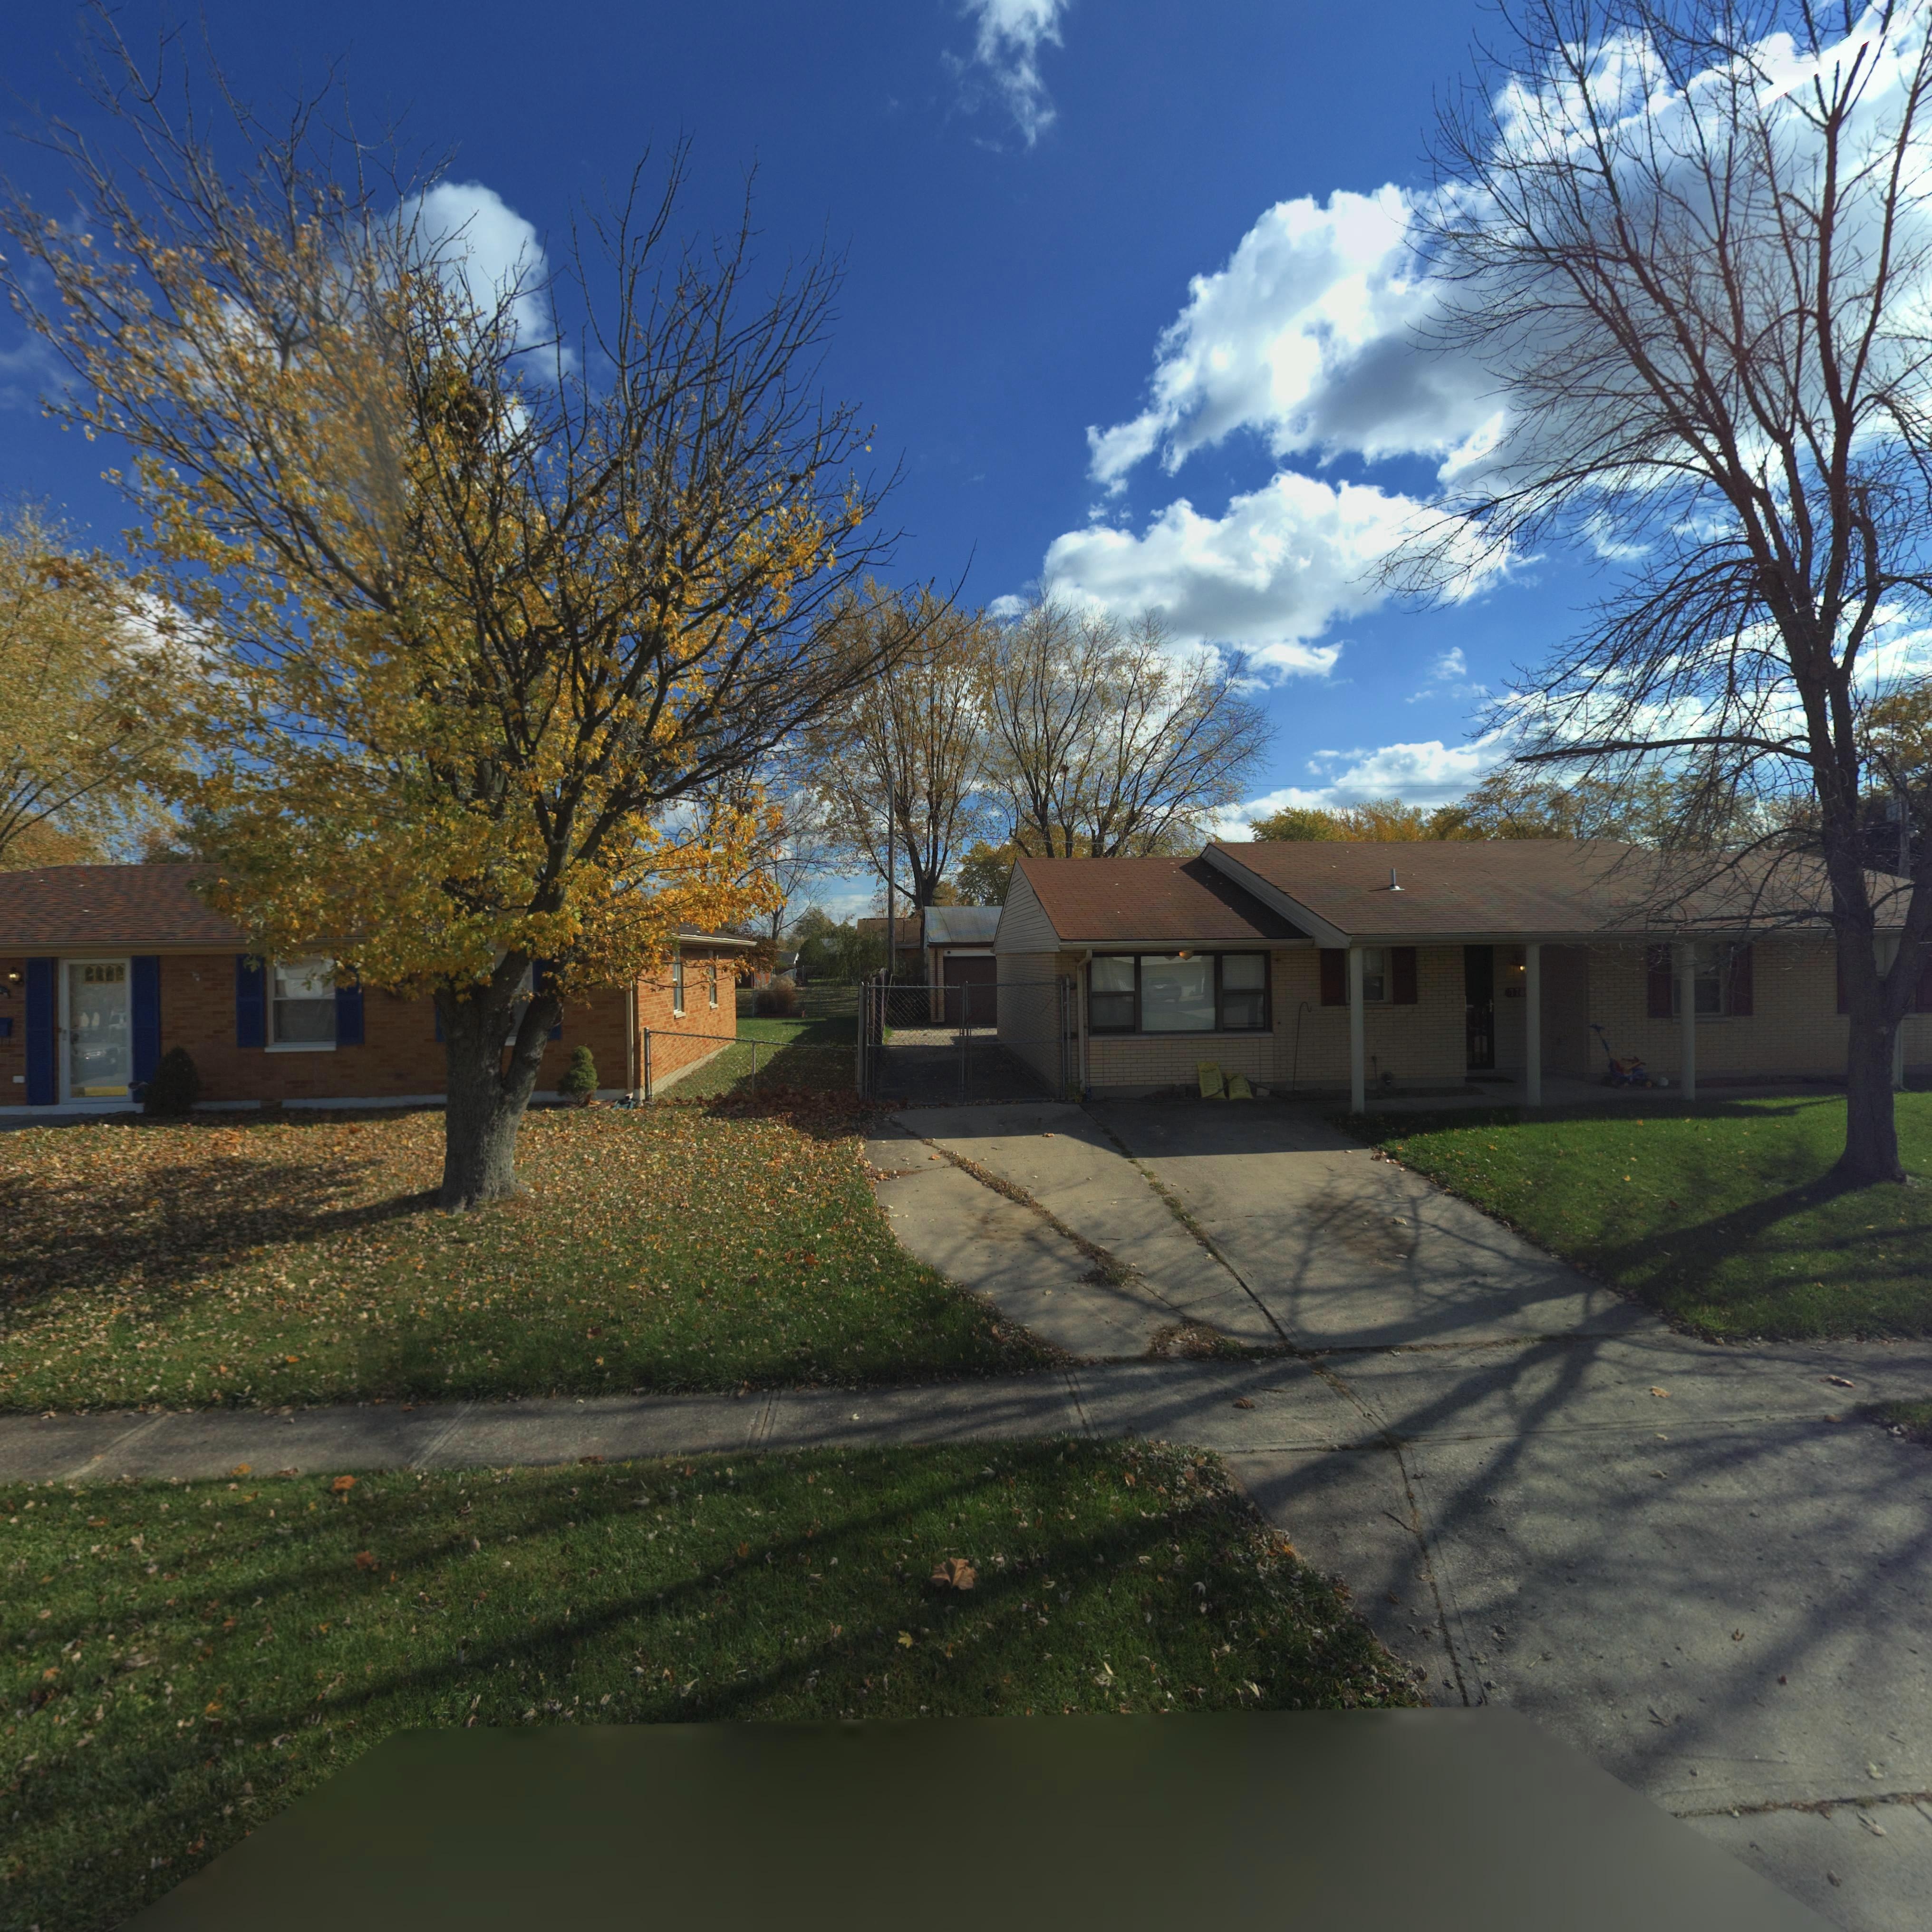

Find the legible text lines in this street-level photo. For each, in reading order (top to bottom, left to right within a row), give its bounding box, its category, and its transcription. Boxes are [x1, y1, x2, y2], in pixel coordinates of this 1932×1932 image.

[1508, 987, 1526, 997] StreetNumber: 776